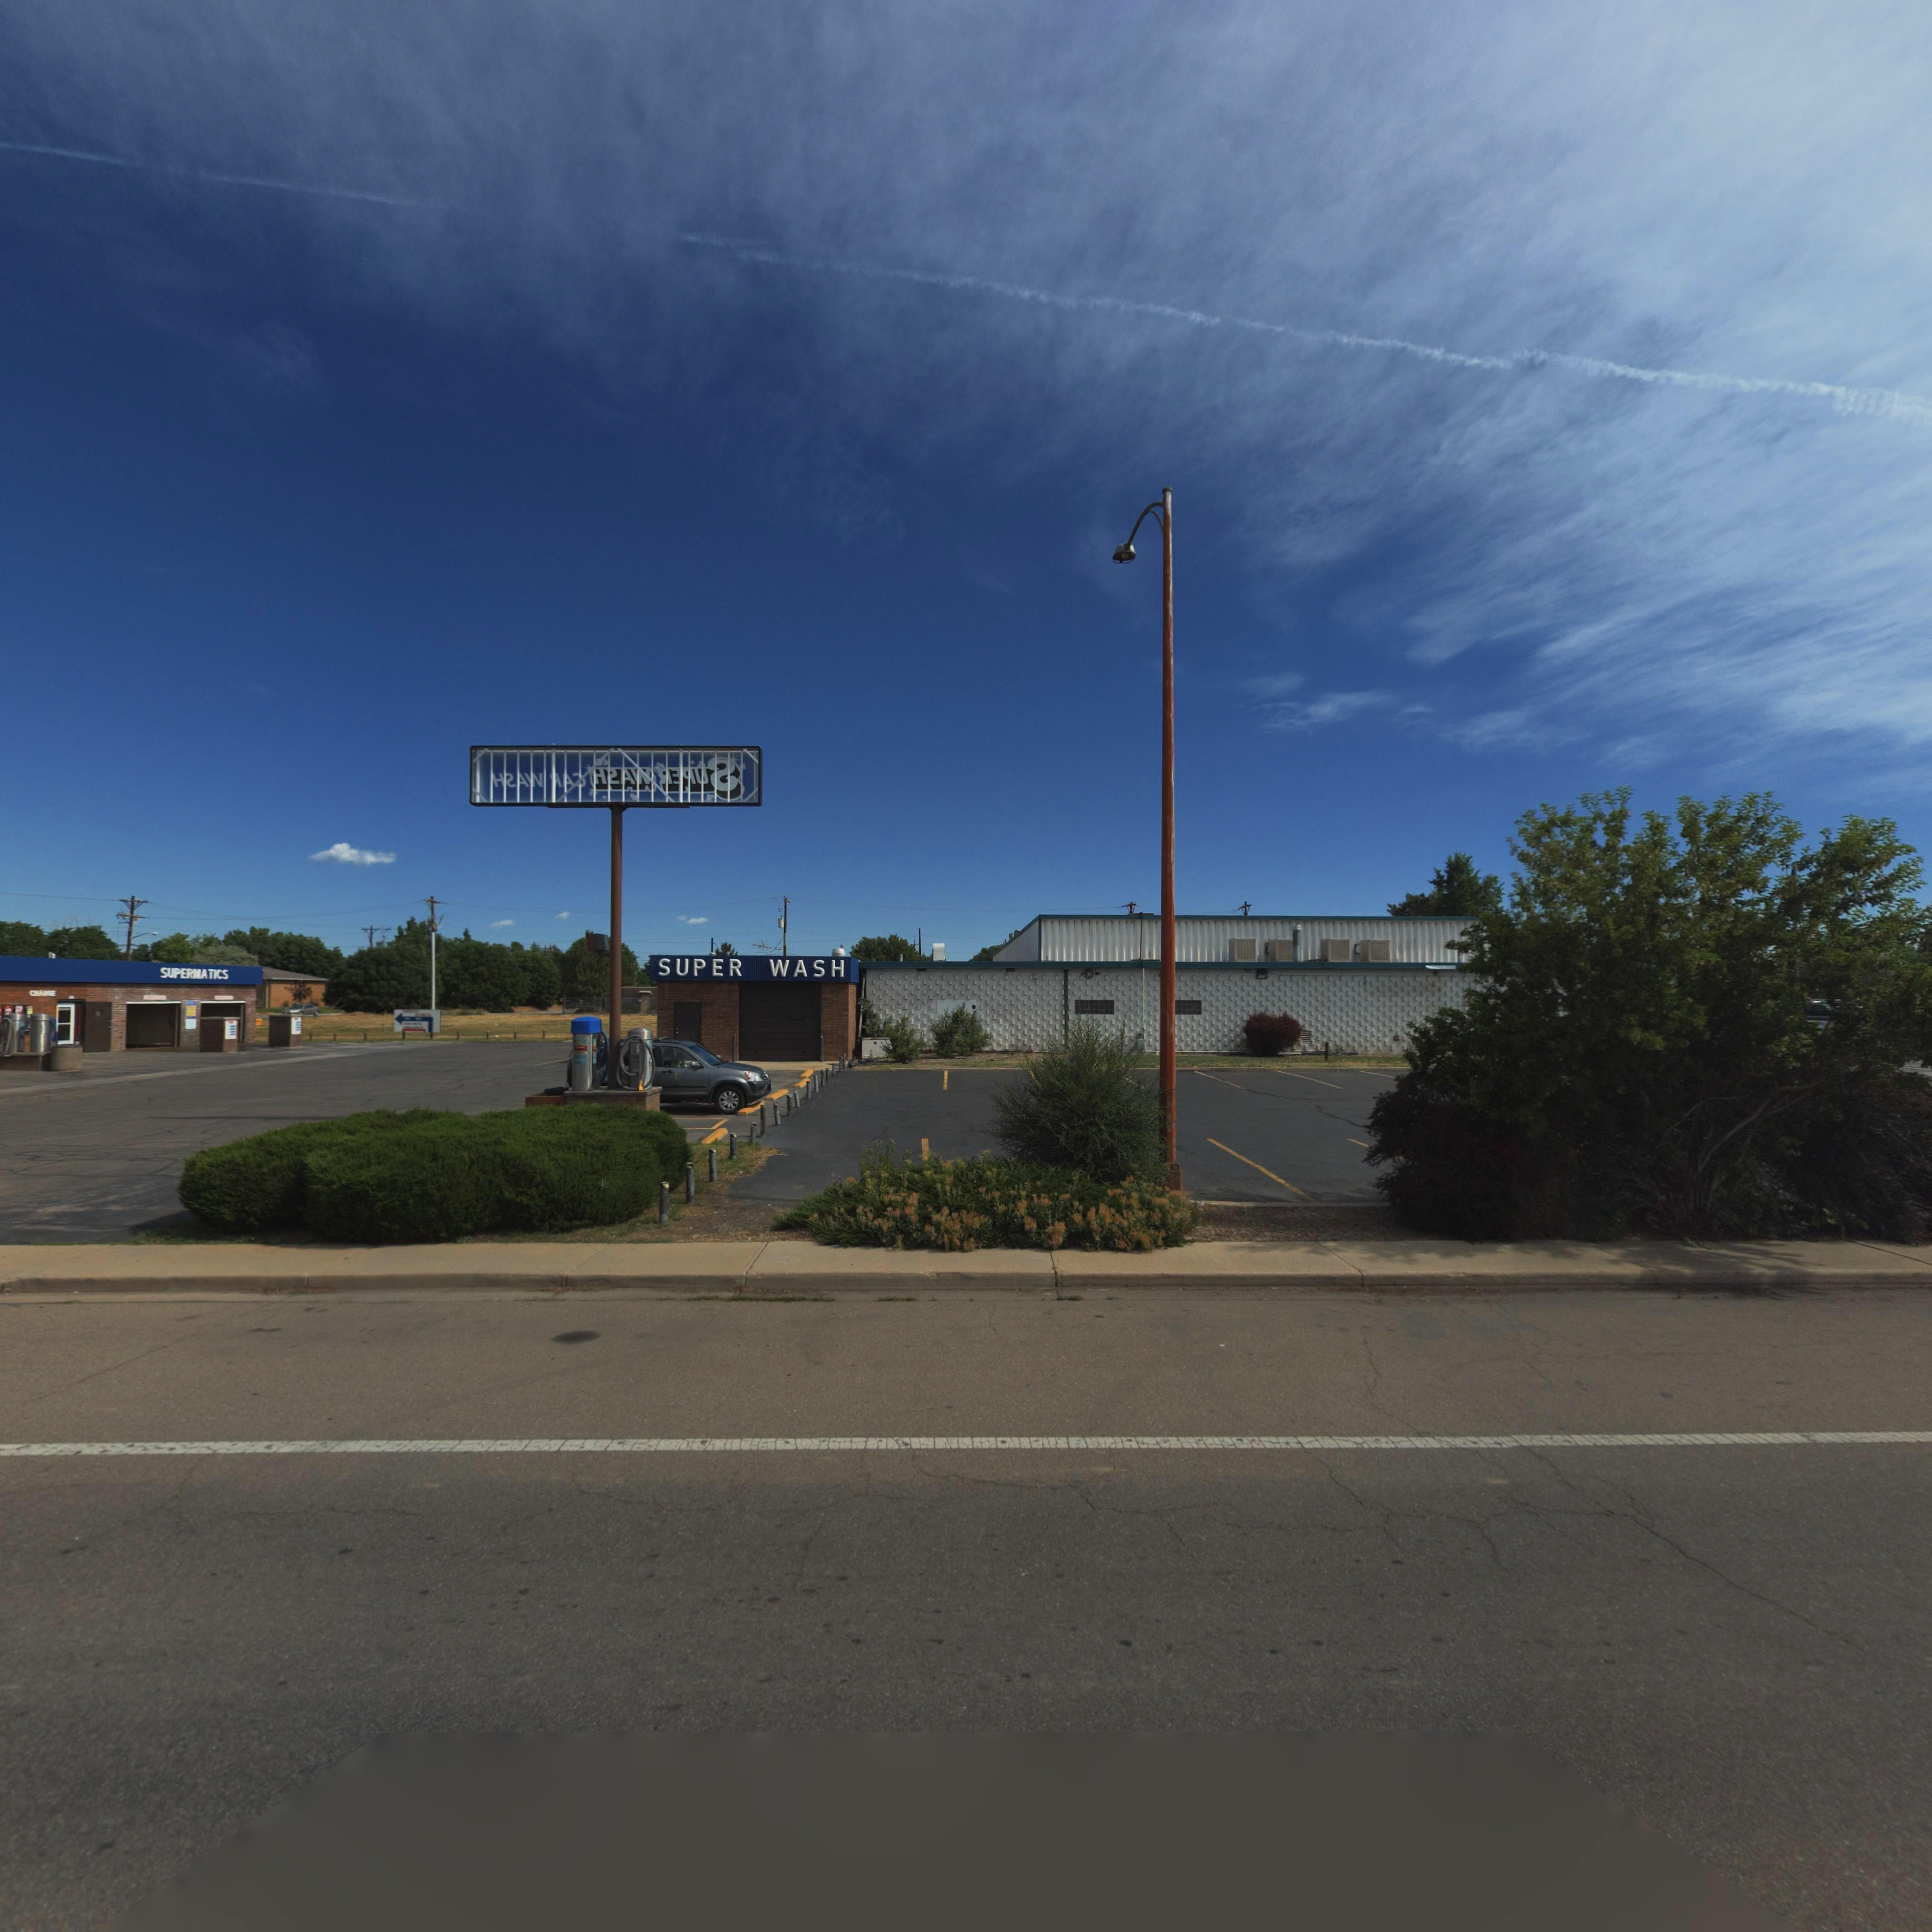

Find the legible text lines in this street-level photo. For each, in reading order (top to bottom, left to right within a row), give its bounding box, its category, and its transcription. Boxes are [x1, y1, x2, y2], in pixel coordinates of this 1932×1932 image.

[491, 772, 587, 788] BusinessName: H*AW *A*
[590, 756, 739, 792] BusinessName: H*AW ***U*
[657, 957, 845, 978] BusinessName: SUPER WASH